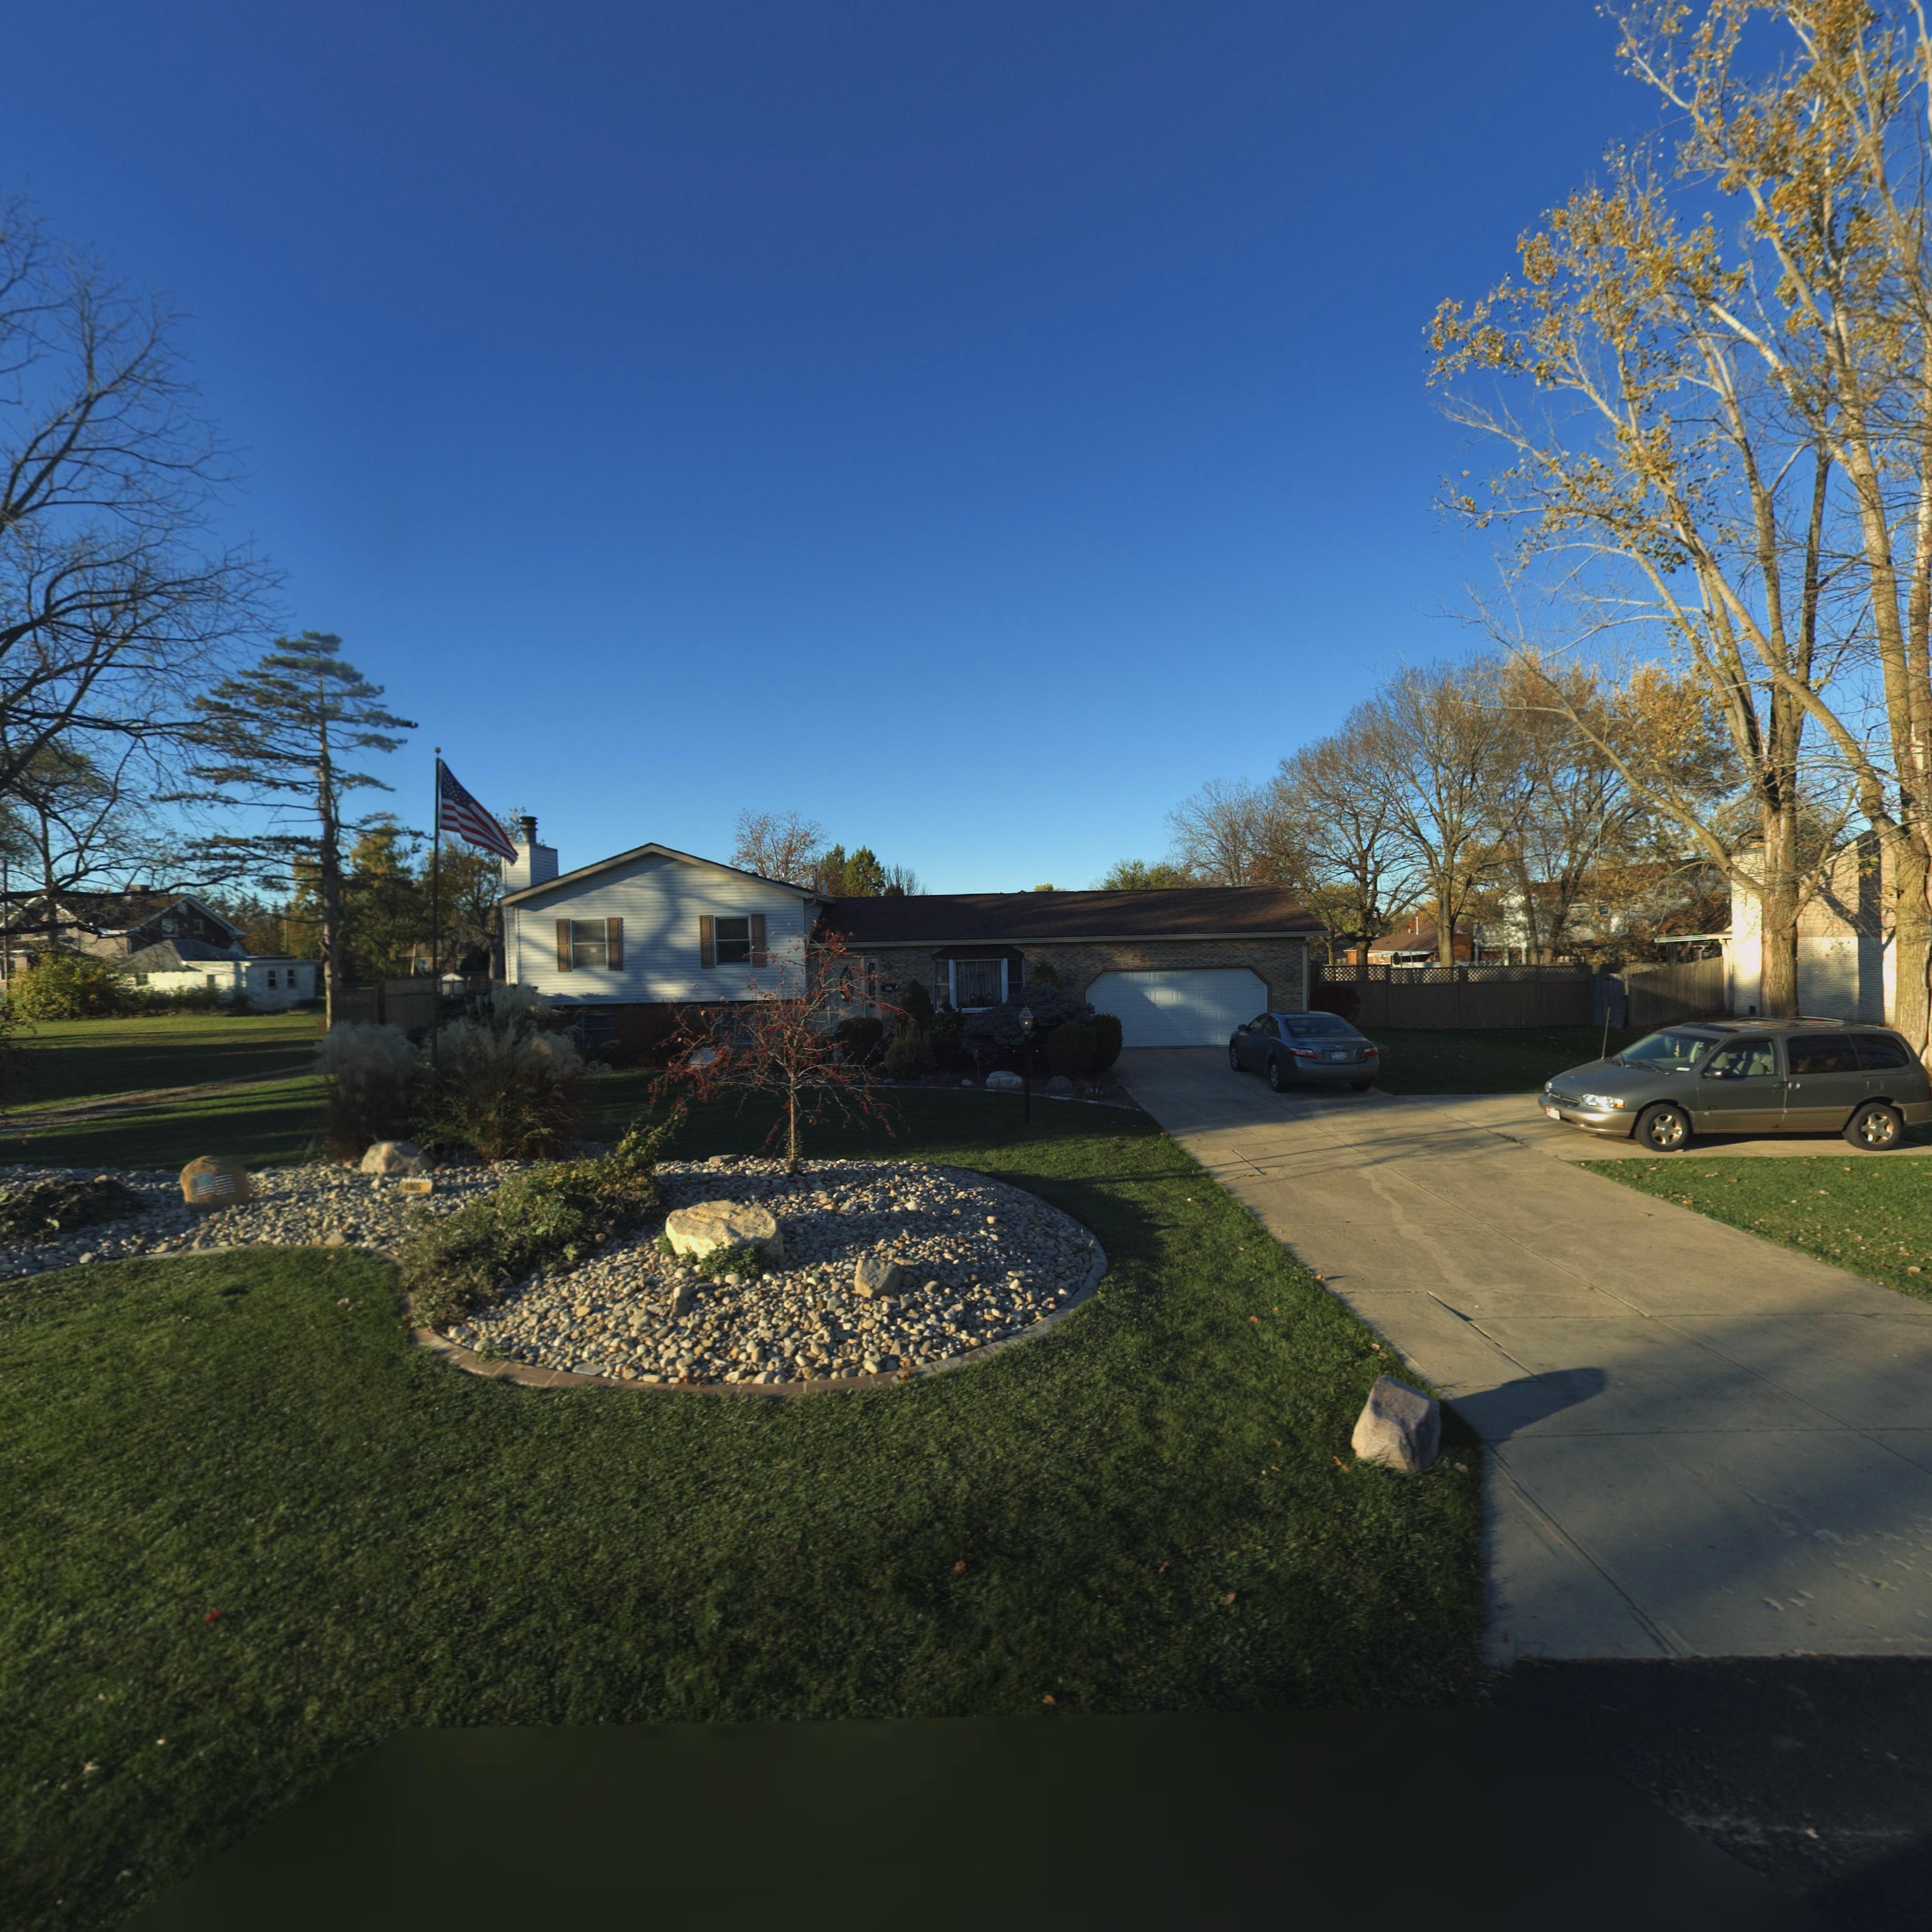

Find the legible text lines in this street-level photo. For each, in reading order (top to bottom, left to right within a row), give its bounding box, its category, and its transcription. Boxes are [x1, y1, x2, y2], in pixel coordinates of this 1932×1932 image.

[403, 1182, 423, 1191] StreetNumber: 4965